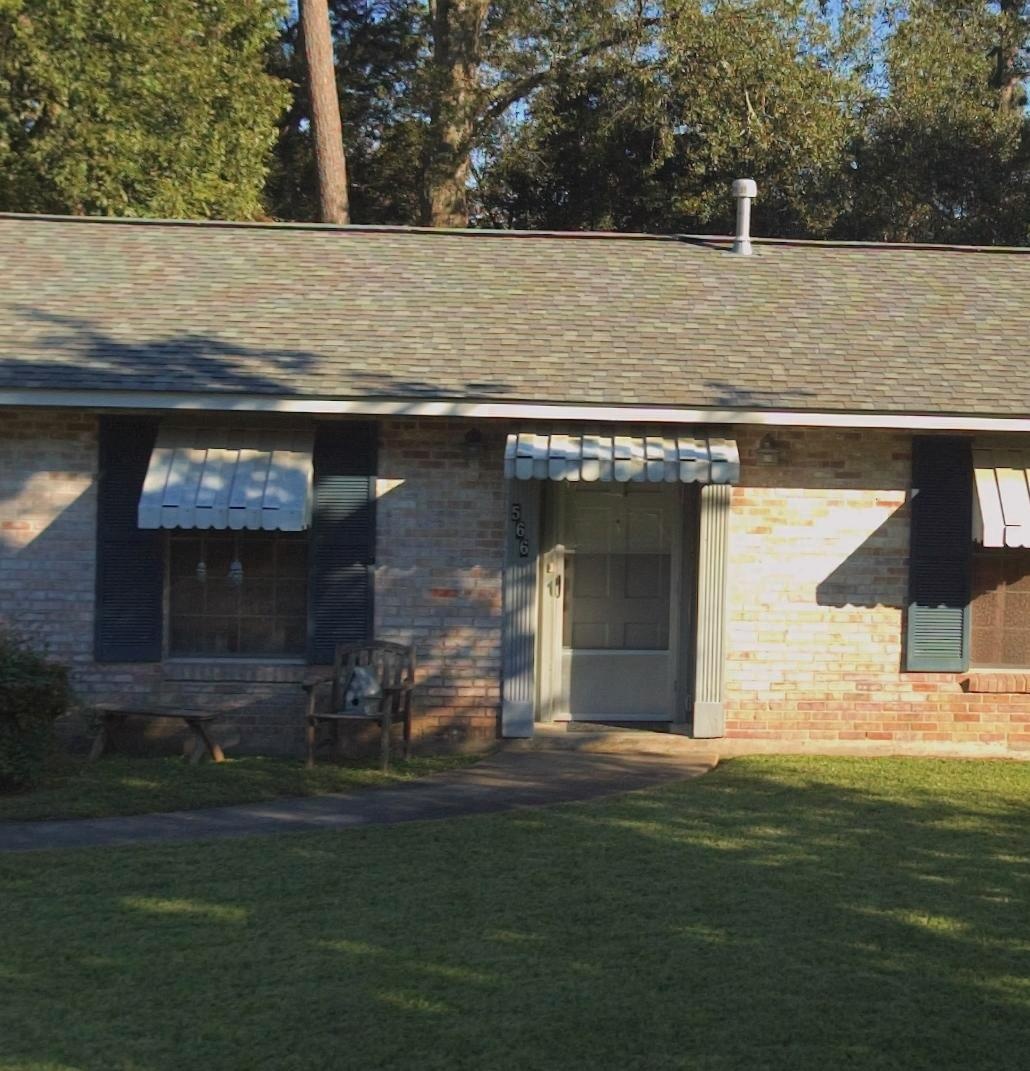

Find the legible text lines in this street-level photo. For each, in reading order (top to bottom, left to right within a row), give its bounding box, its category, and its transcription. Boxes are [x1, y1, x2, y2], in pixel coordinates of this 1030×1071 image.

[510, 504, 530, 556] StreetNumber: 566